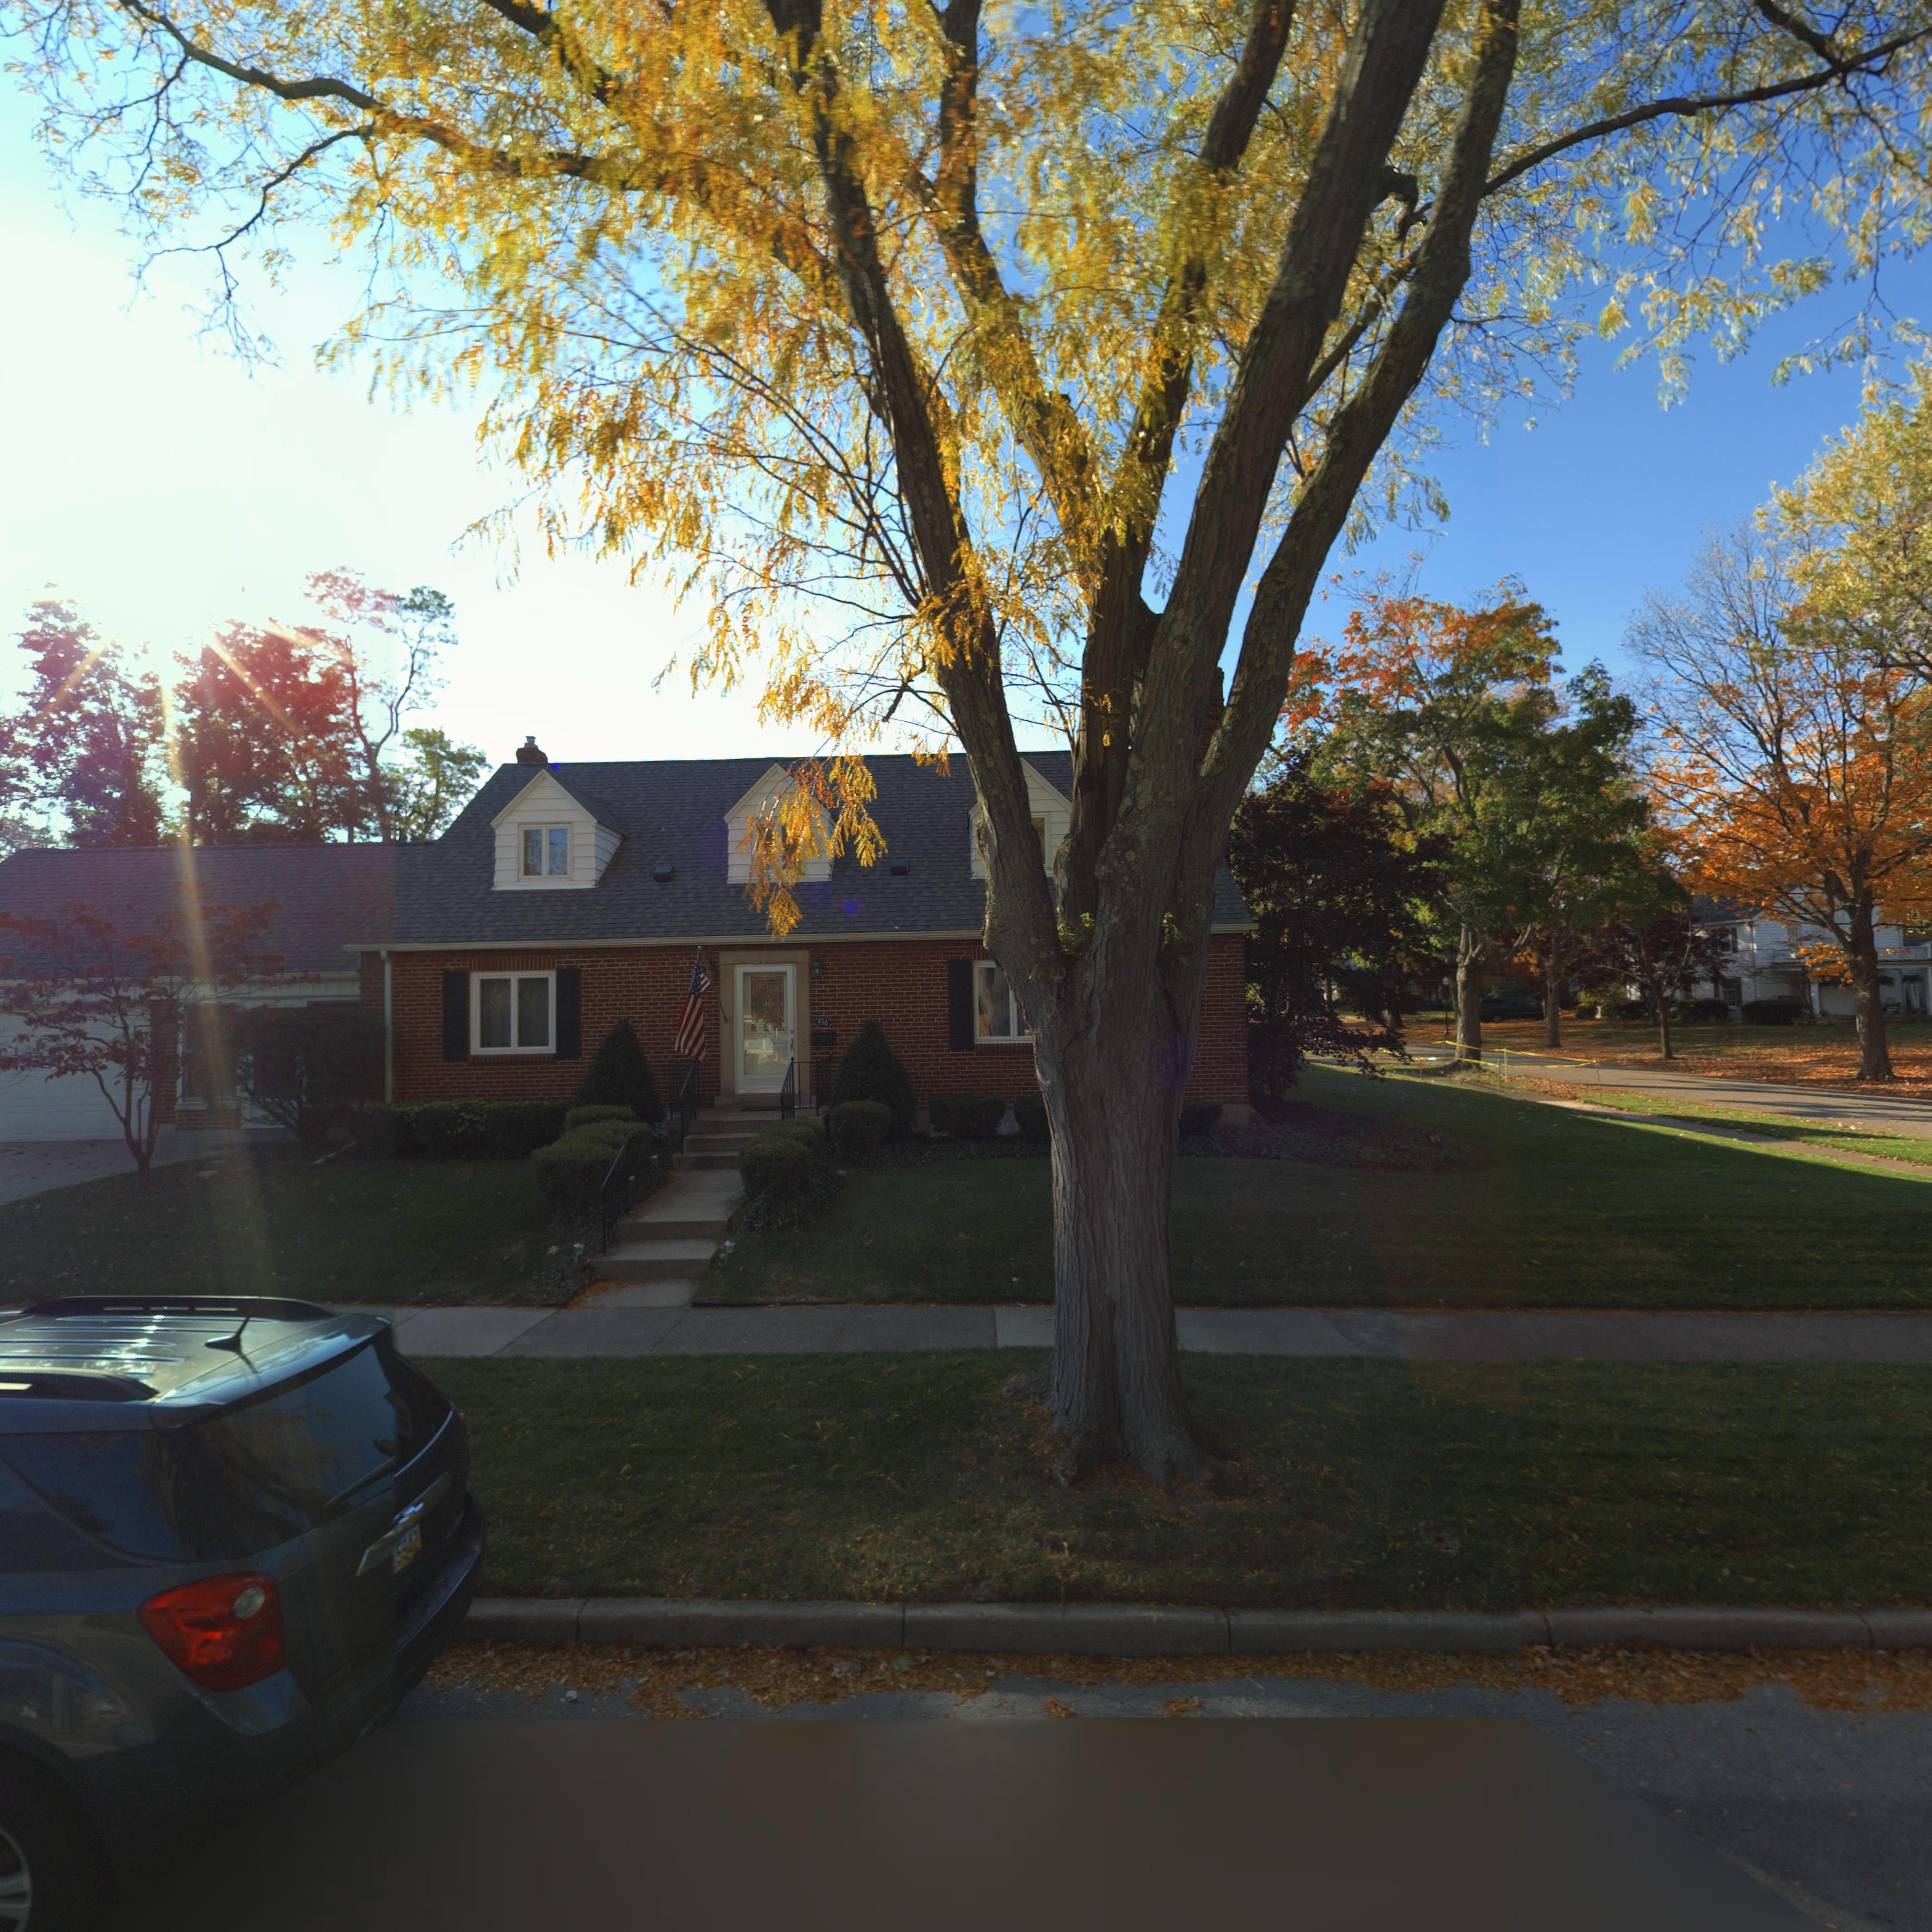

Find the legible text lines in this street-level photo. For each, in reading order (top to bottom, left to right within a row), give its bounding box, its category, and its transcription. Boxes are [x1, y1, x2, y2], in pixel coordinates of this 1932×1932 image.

[817, 1017, 829, 1026] StreetNumber: 356